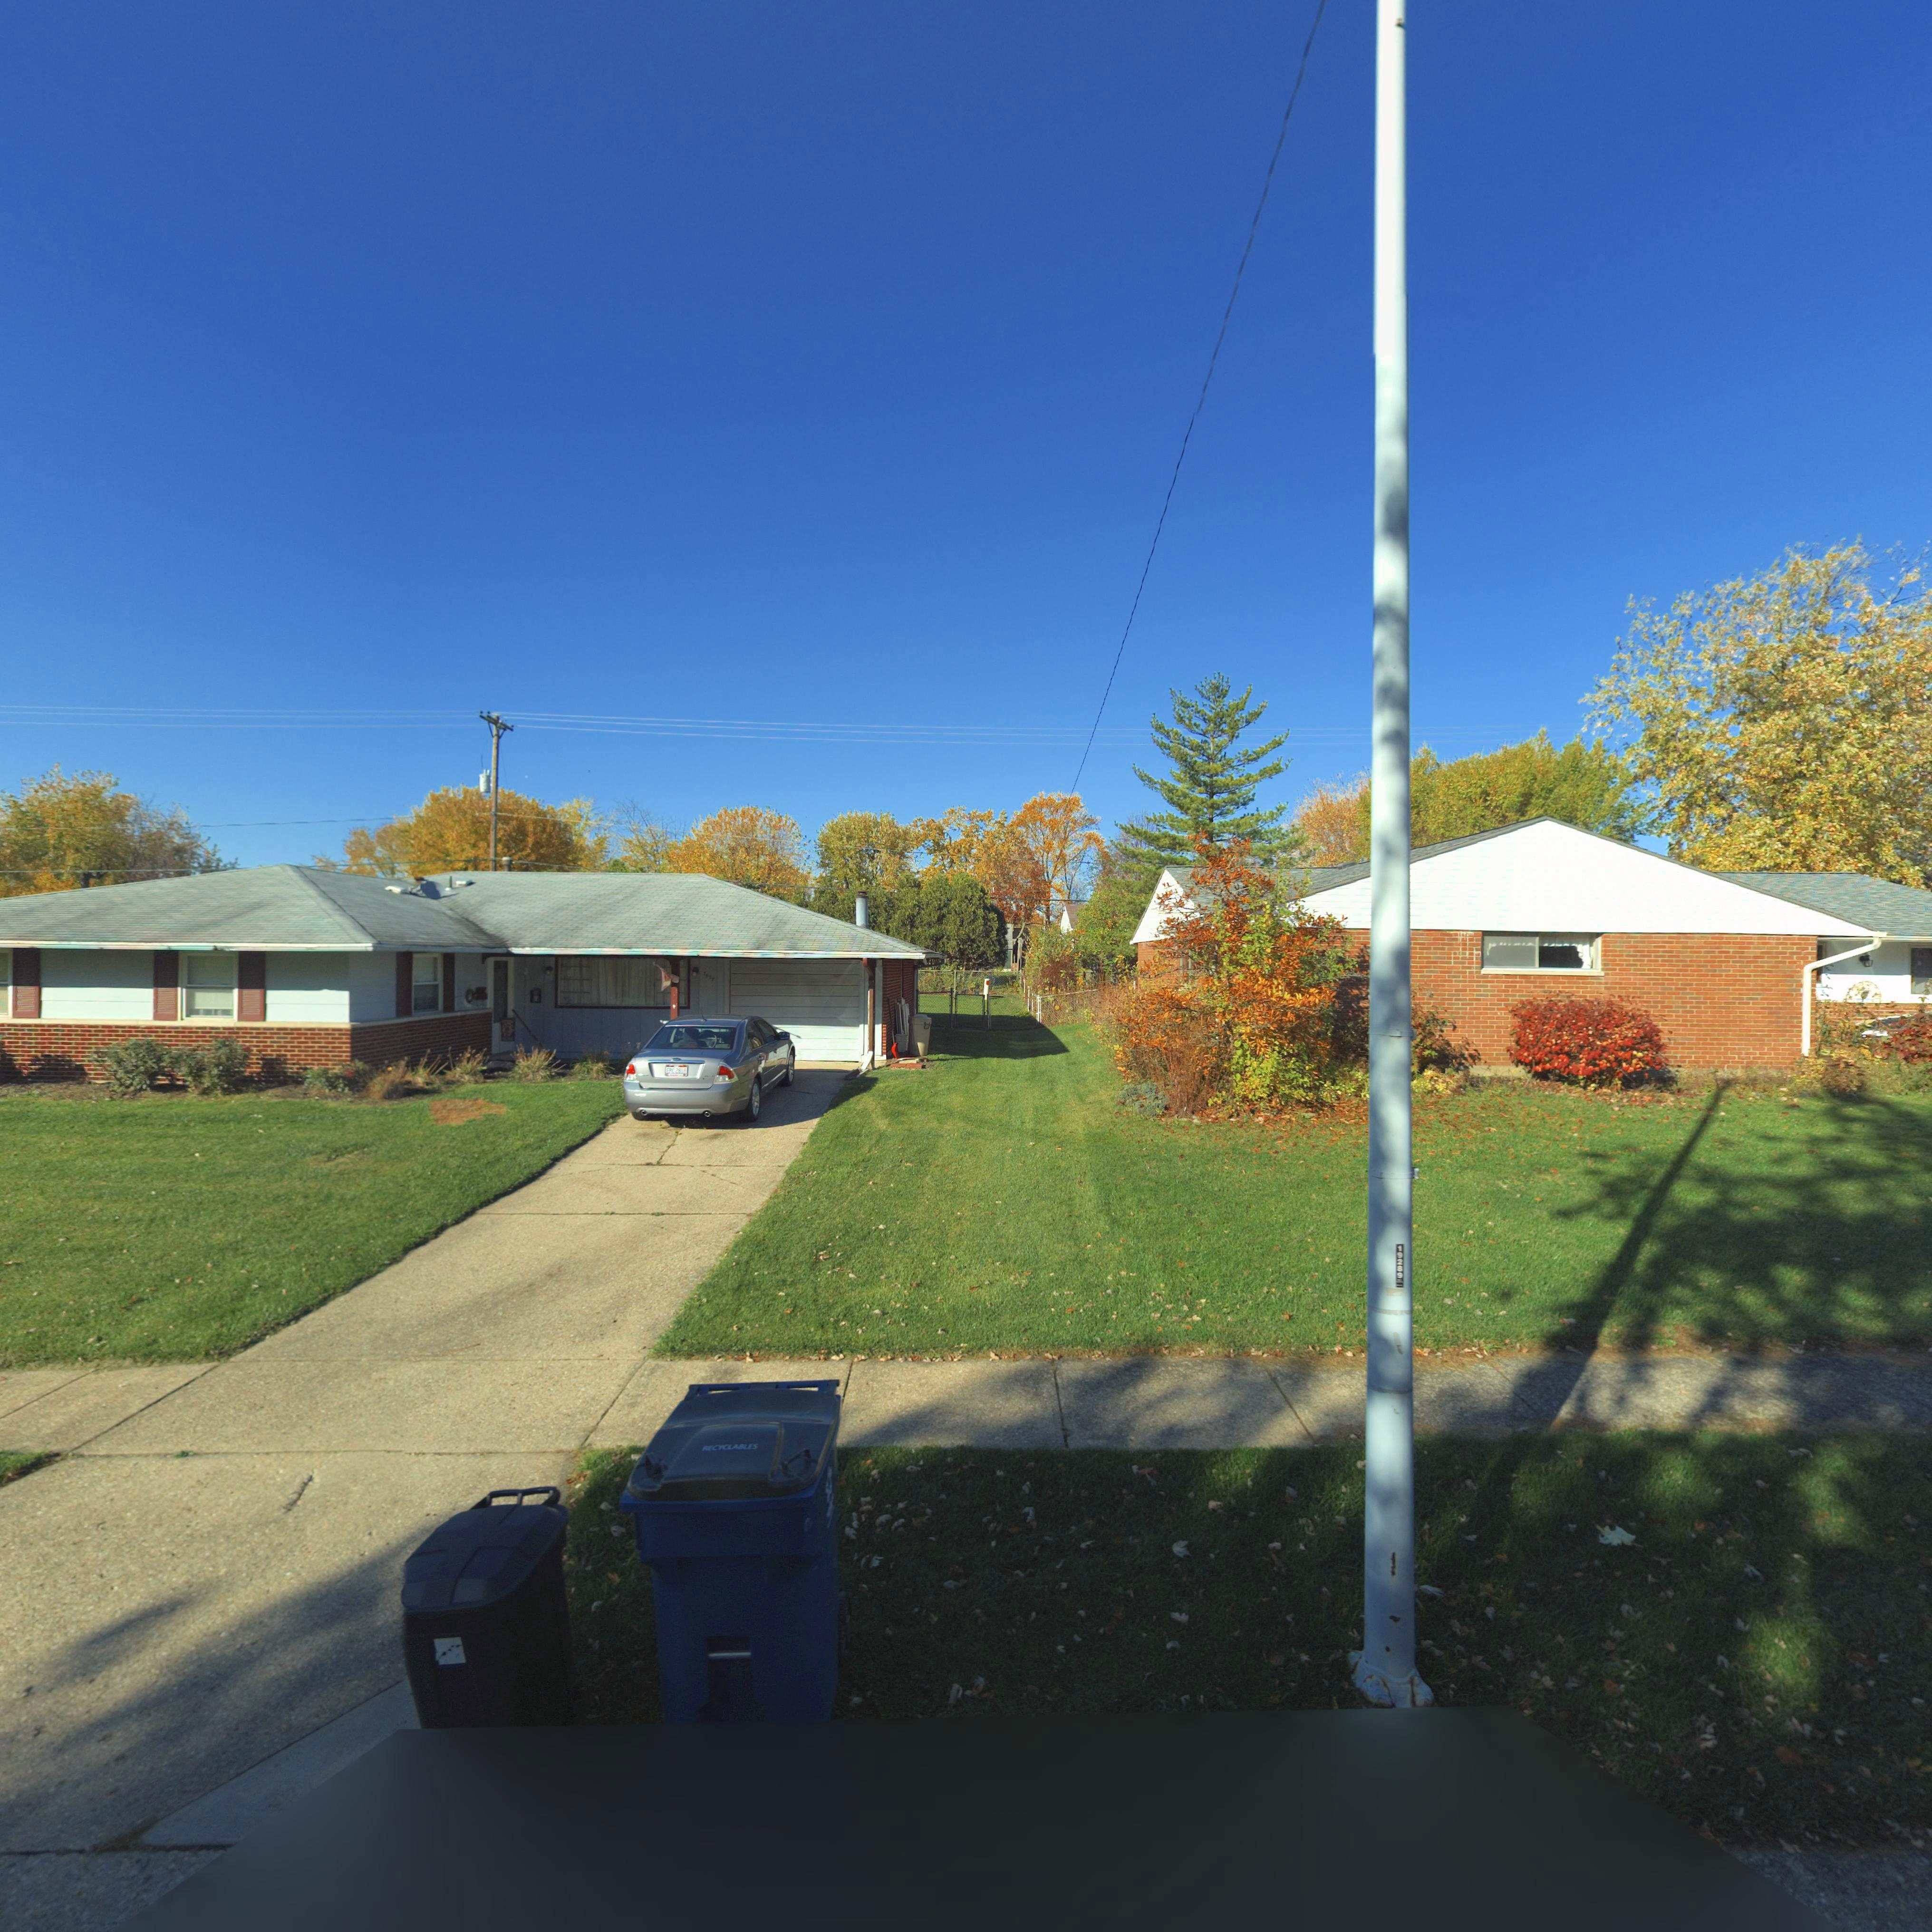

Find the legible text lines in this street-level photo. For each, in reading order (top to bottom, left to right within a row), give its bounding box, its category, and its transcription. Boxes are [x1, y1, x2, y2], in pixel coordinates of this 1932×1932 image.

[703, 971, 715, 983] StreetNumber: 7637